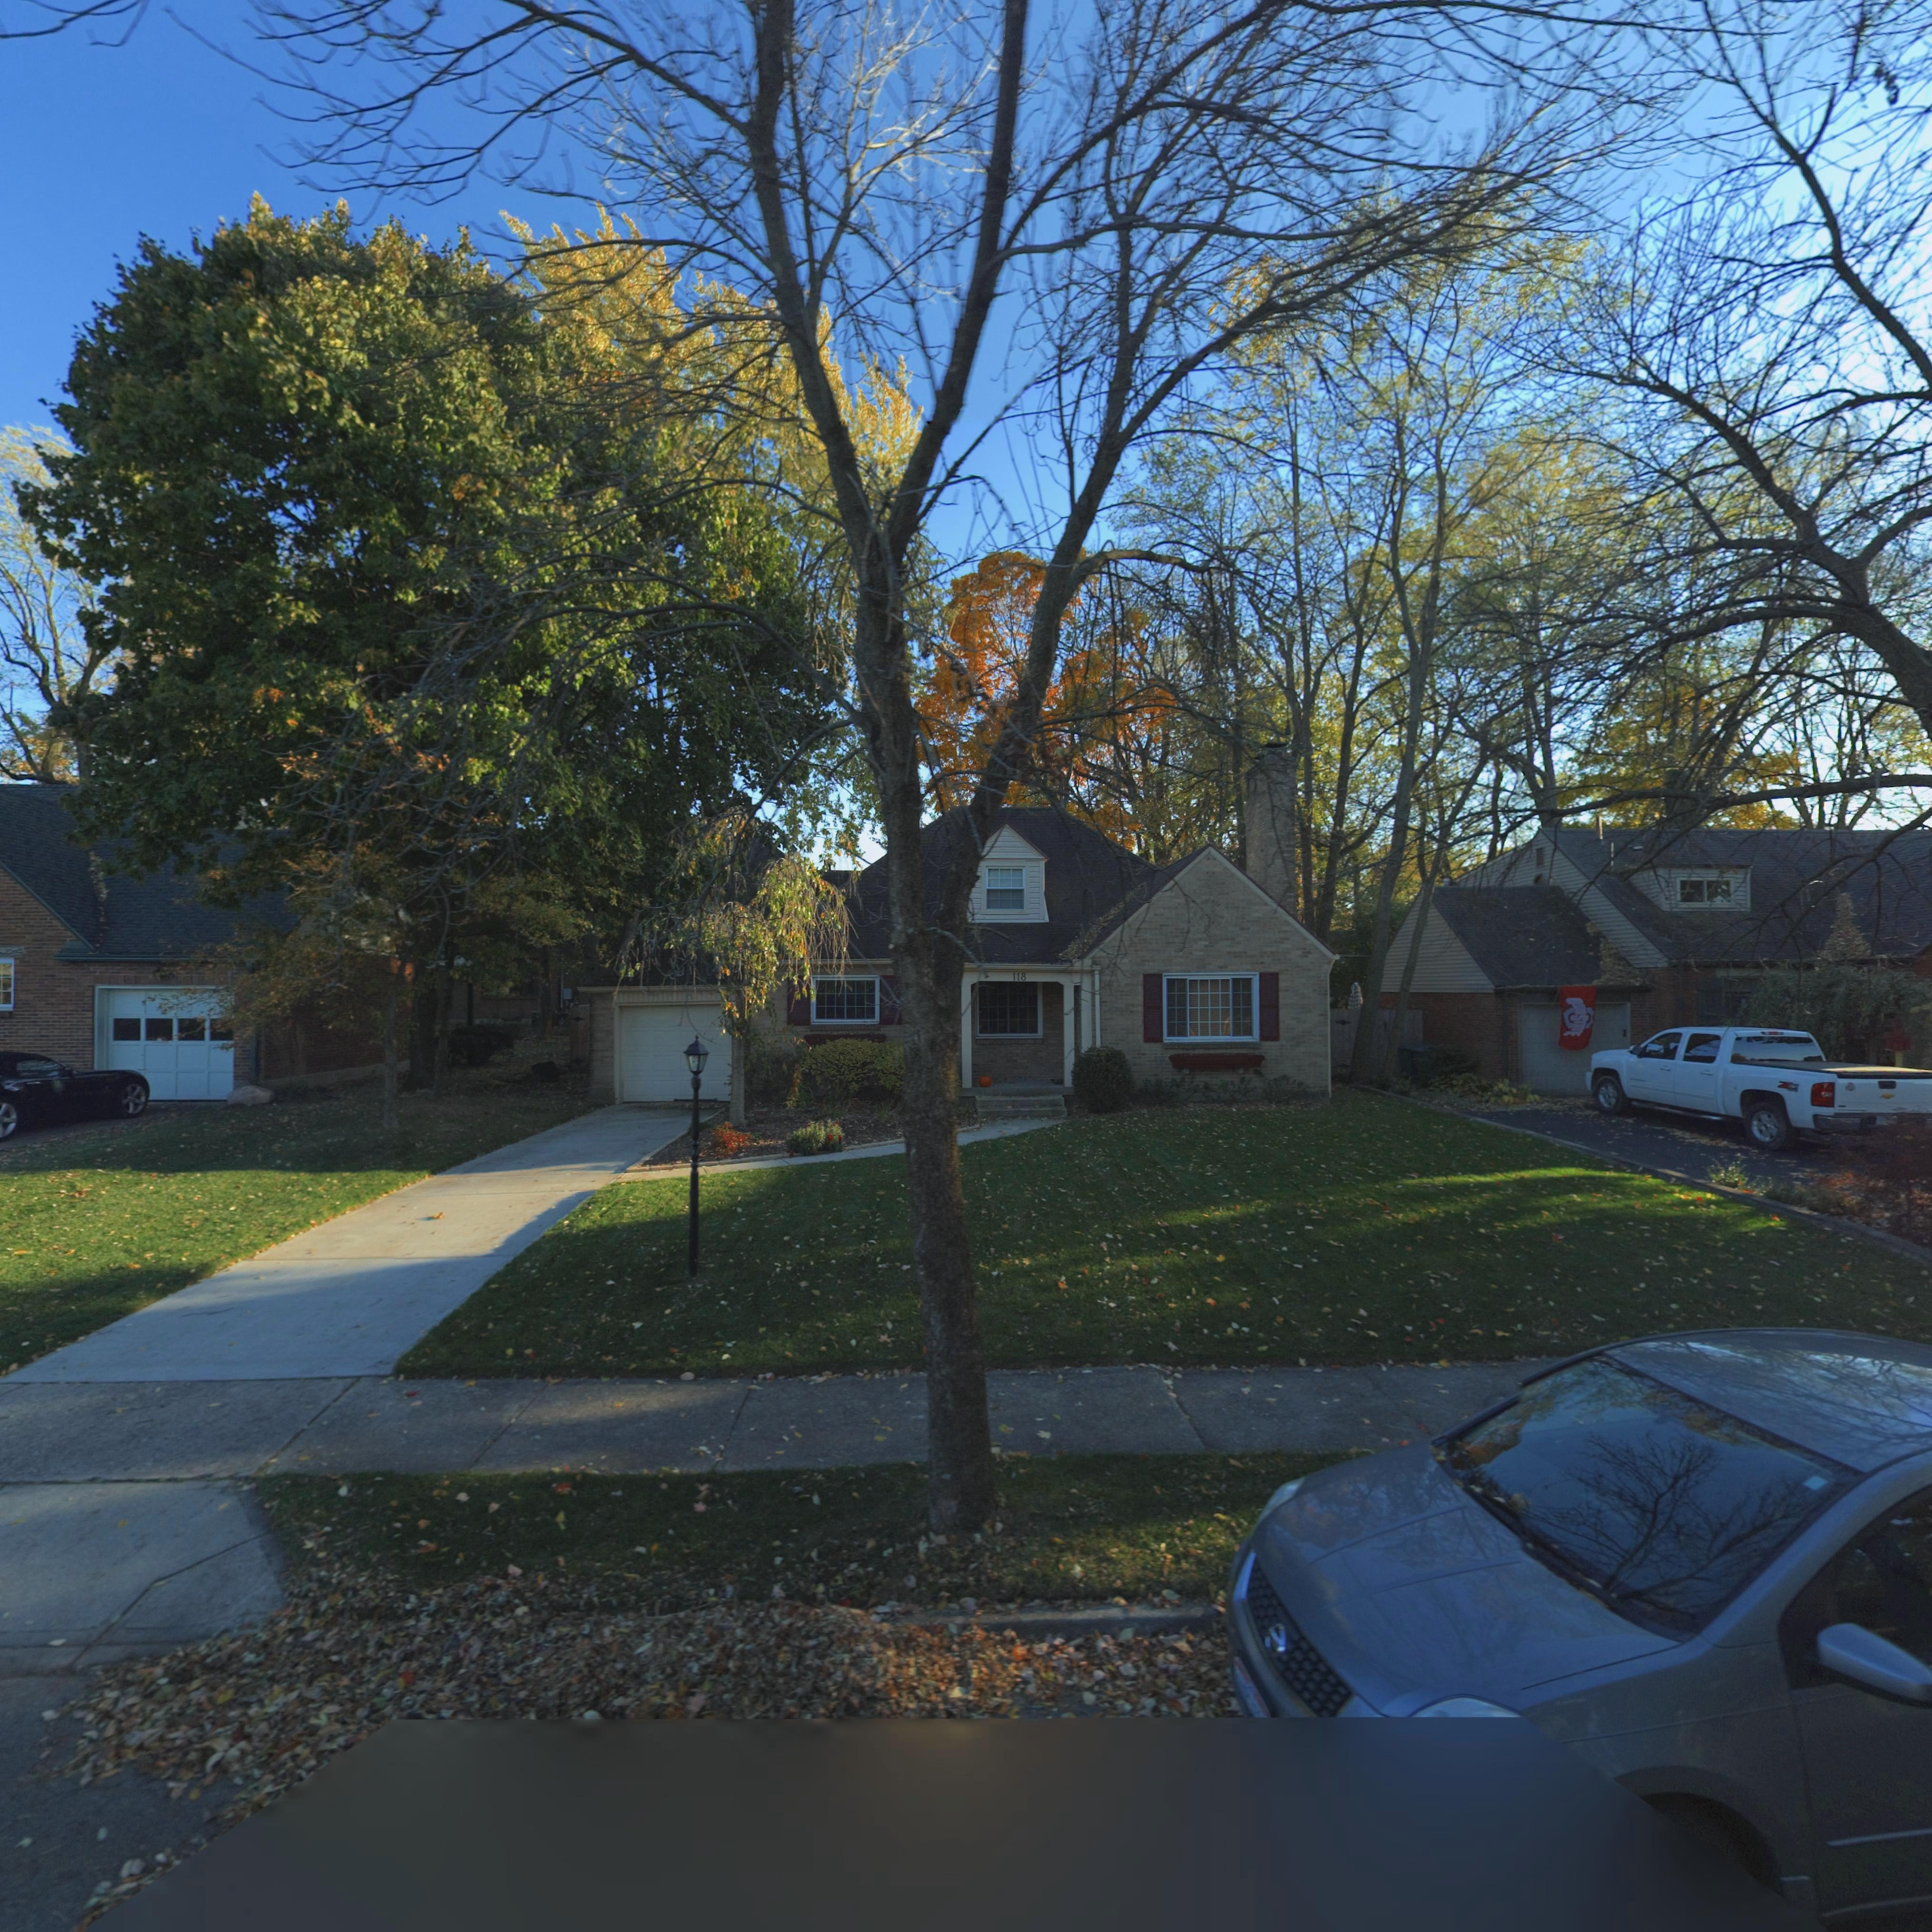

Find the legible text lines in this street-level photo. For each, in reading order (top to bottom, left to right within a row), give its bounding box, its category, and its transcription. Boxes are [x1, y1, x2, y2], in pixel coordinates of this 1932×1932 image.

[1013, 972, 1026, 981] StreetNumber: 118